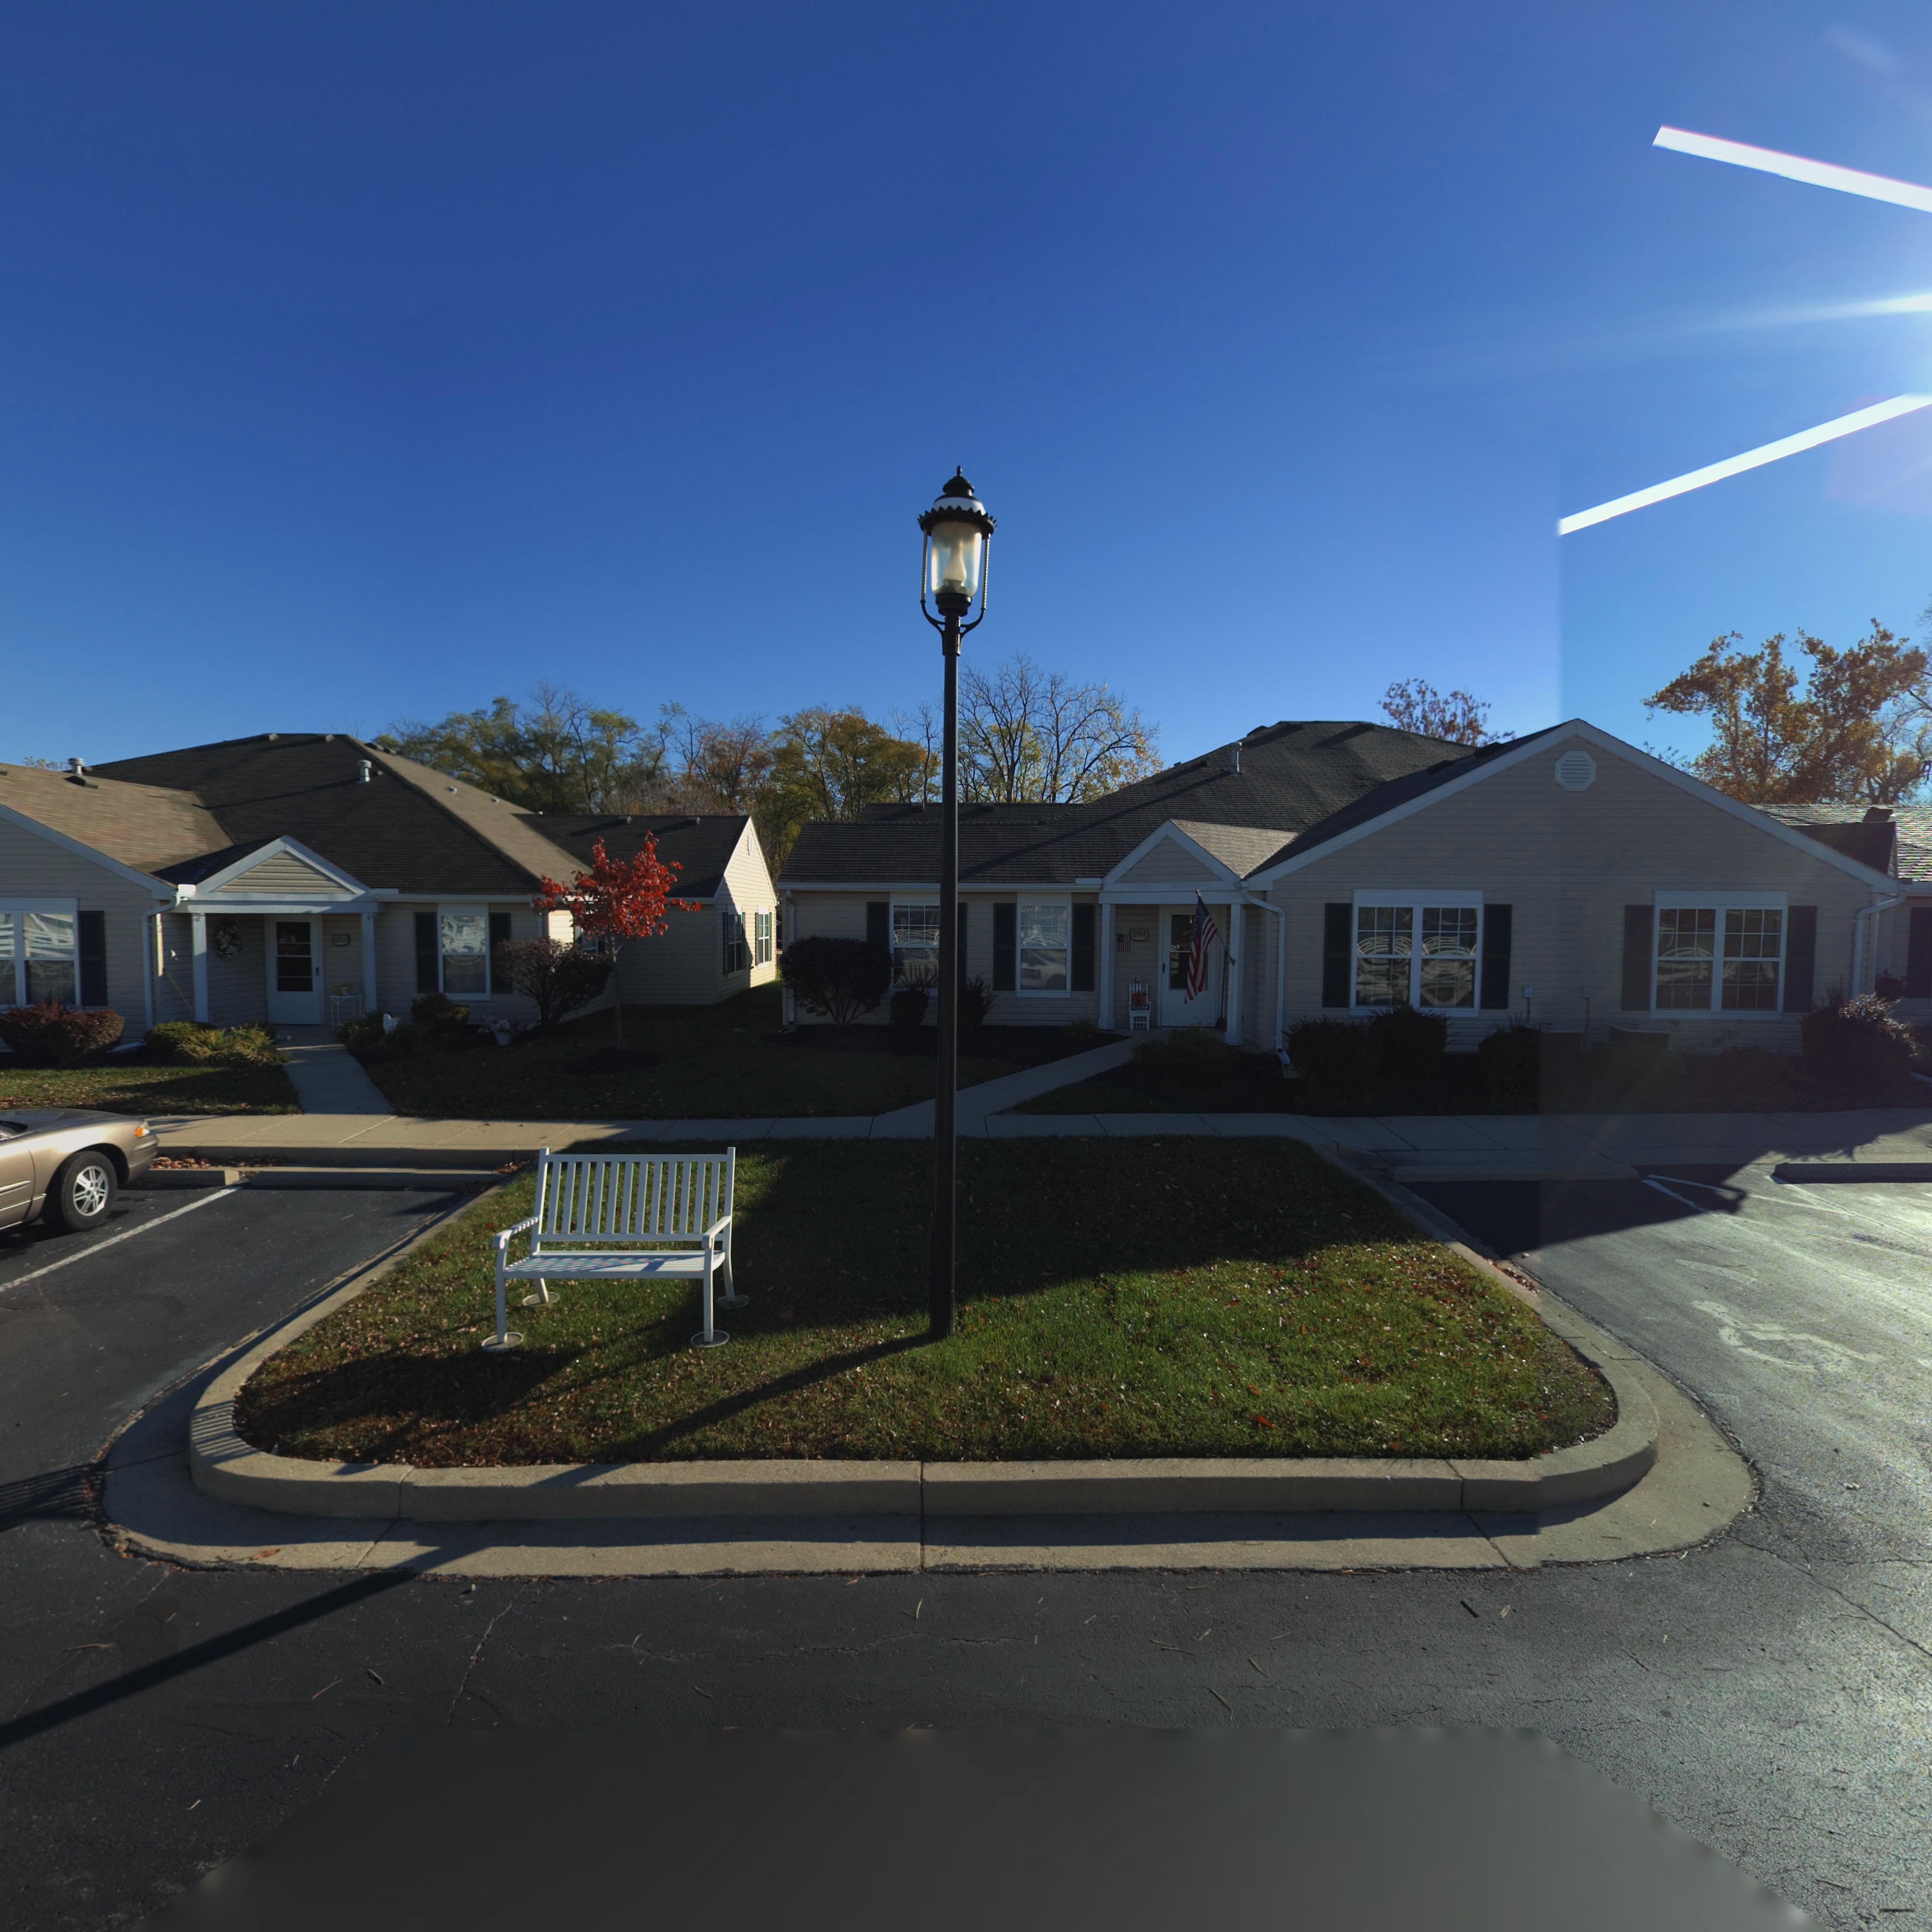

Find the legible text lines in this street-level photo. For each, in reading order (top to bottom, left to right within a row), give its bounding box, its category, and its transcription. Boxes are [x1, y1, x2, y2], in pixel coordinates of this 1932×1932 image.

[1131, 930, 1147, 938] StreetNumber: 5276-F